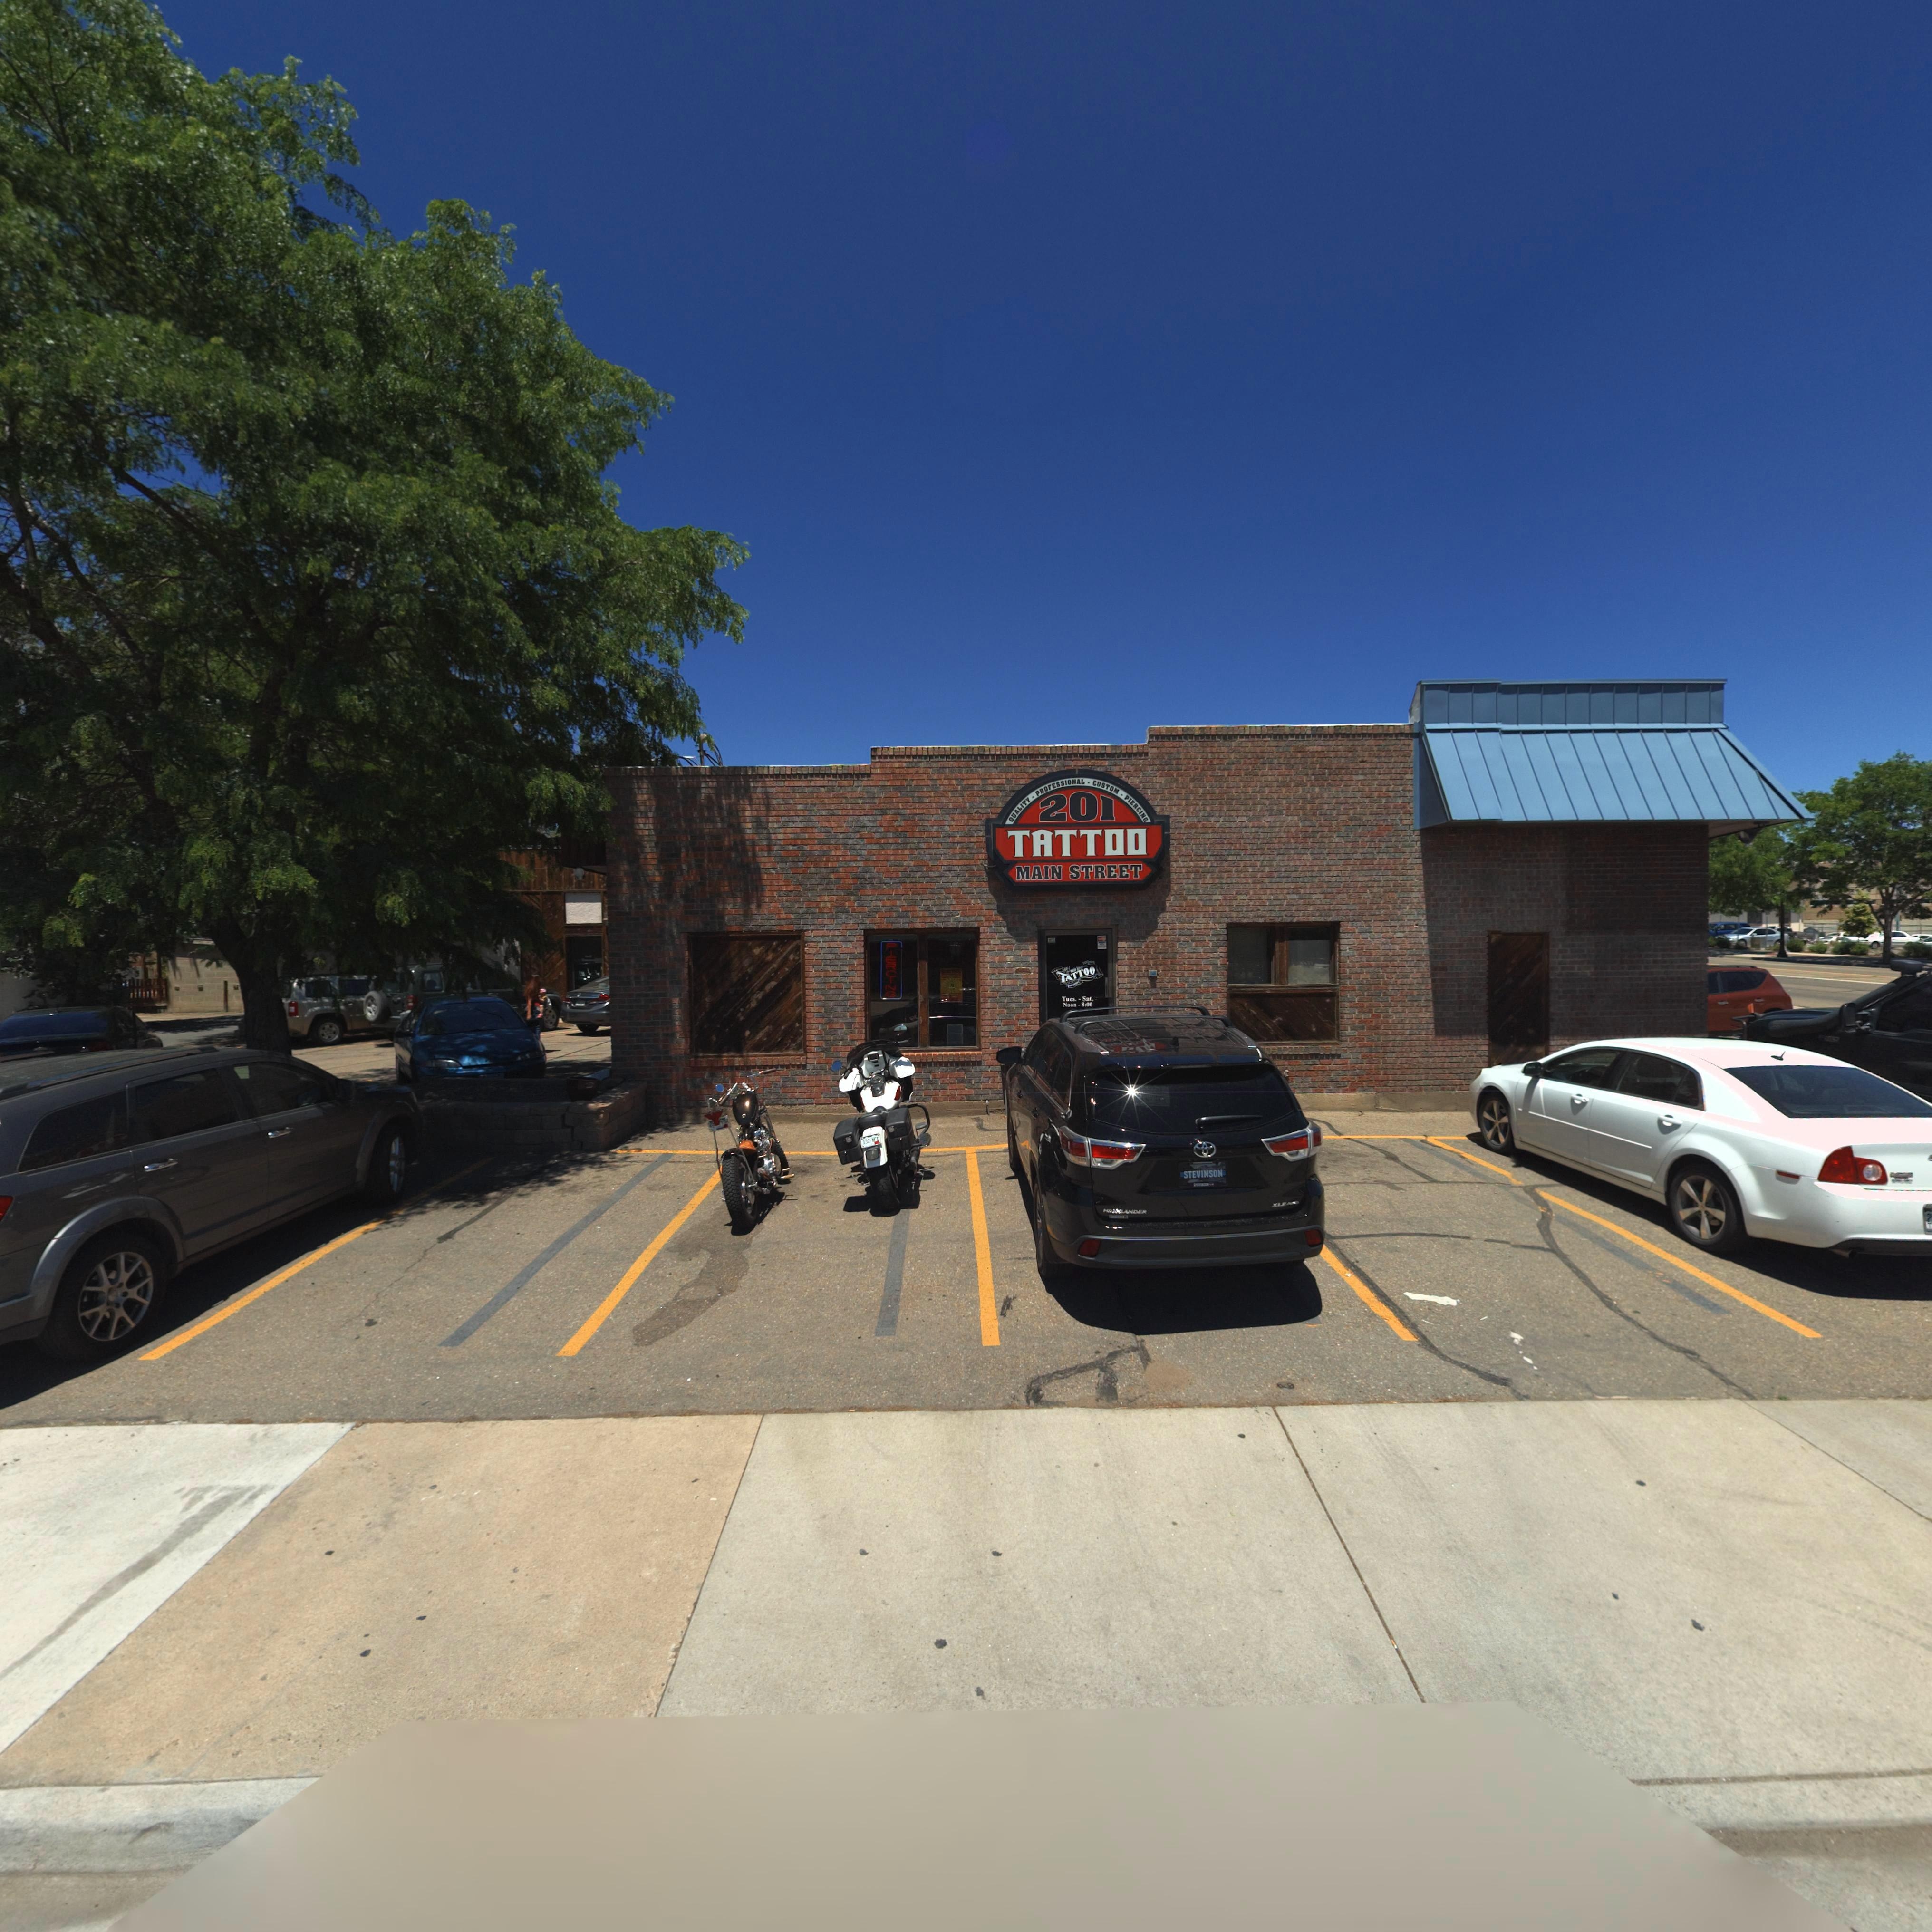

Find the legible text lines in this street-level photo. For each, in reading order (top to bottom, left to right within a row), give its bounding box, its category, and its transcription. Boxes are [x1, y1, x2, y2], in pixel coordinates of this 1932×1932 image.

[1039, 792, 1115, 821] StreetNumber: 201
[1007, 827, 1148, 857] BusinessName: TATTOO
[1016, 864, 1141, 880] BusinessName: MAIN STREET
[1055, 966, 1096, 983] BusinessName: TATTOO